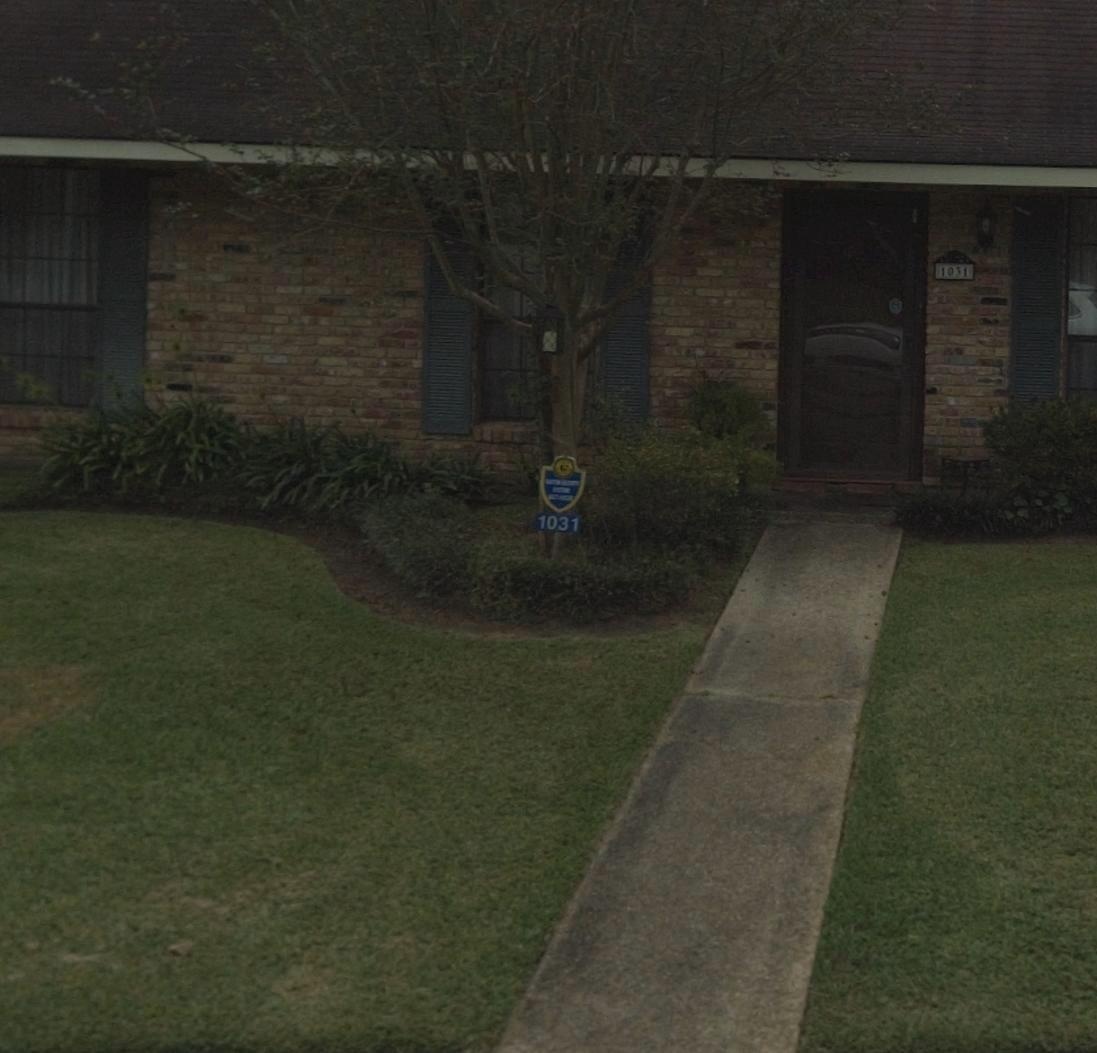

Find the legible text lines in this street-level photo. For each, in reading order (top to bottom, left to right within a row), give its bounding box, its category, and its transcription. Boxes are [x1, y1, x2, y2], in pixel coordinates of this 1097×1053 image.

[941, 266, 968, 278] StreetNumber: 1031
[537, 514, 580, 533] StreetNumber: 1031